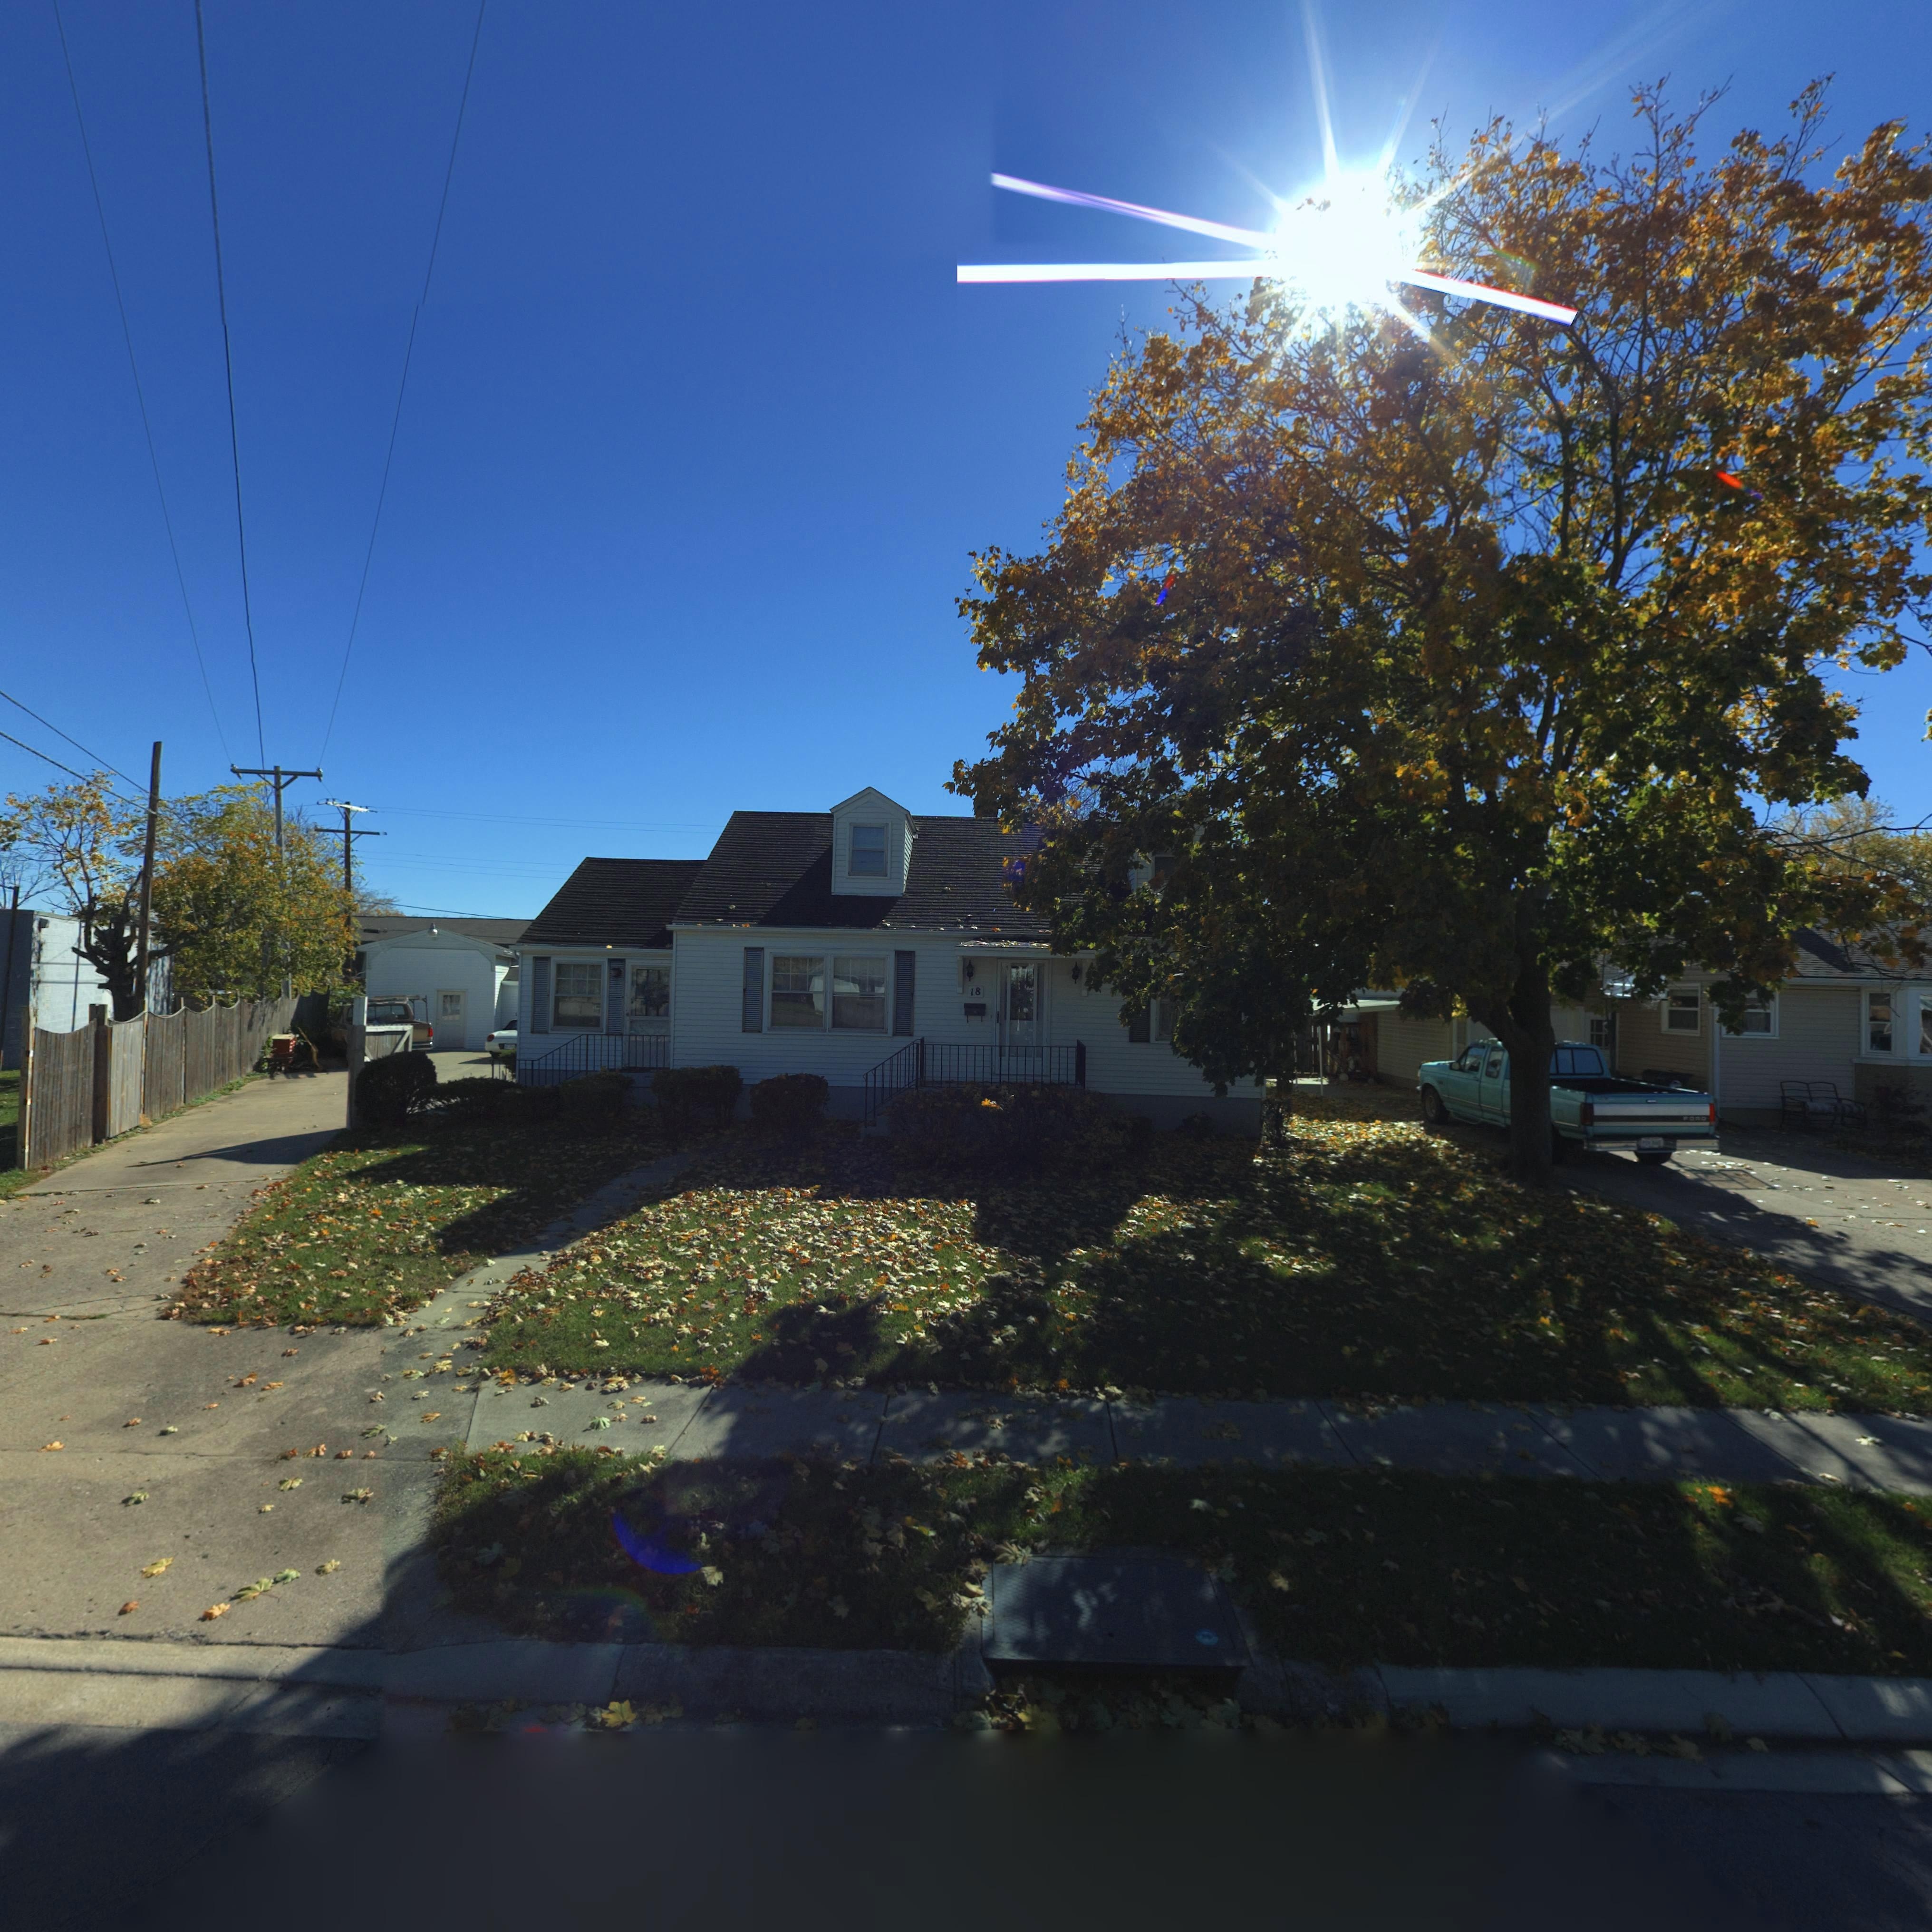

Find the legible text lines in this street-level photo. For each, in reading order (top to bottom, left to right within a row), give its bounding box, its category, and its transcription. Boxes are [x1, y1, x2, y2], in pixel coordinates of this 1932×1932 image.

[969, 985, 982, 997] StreetNumber: 18